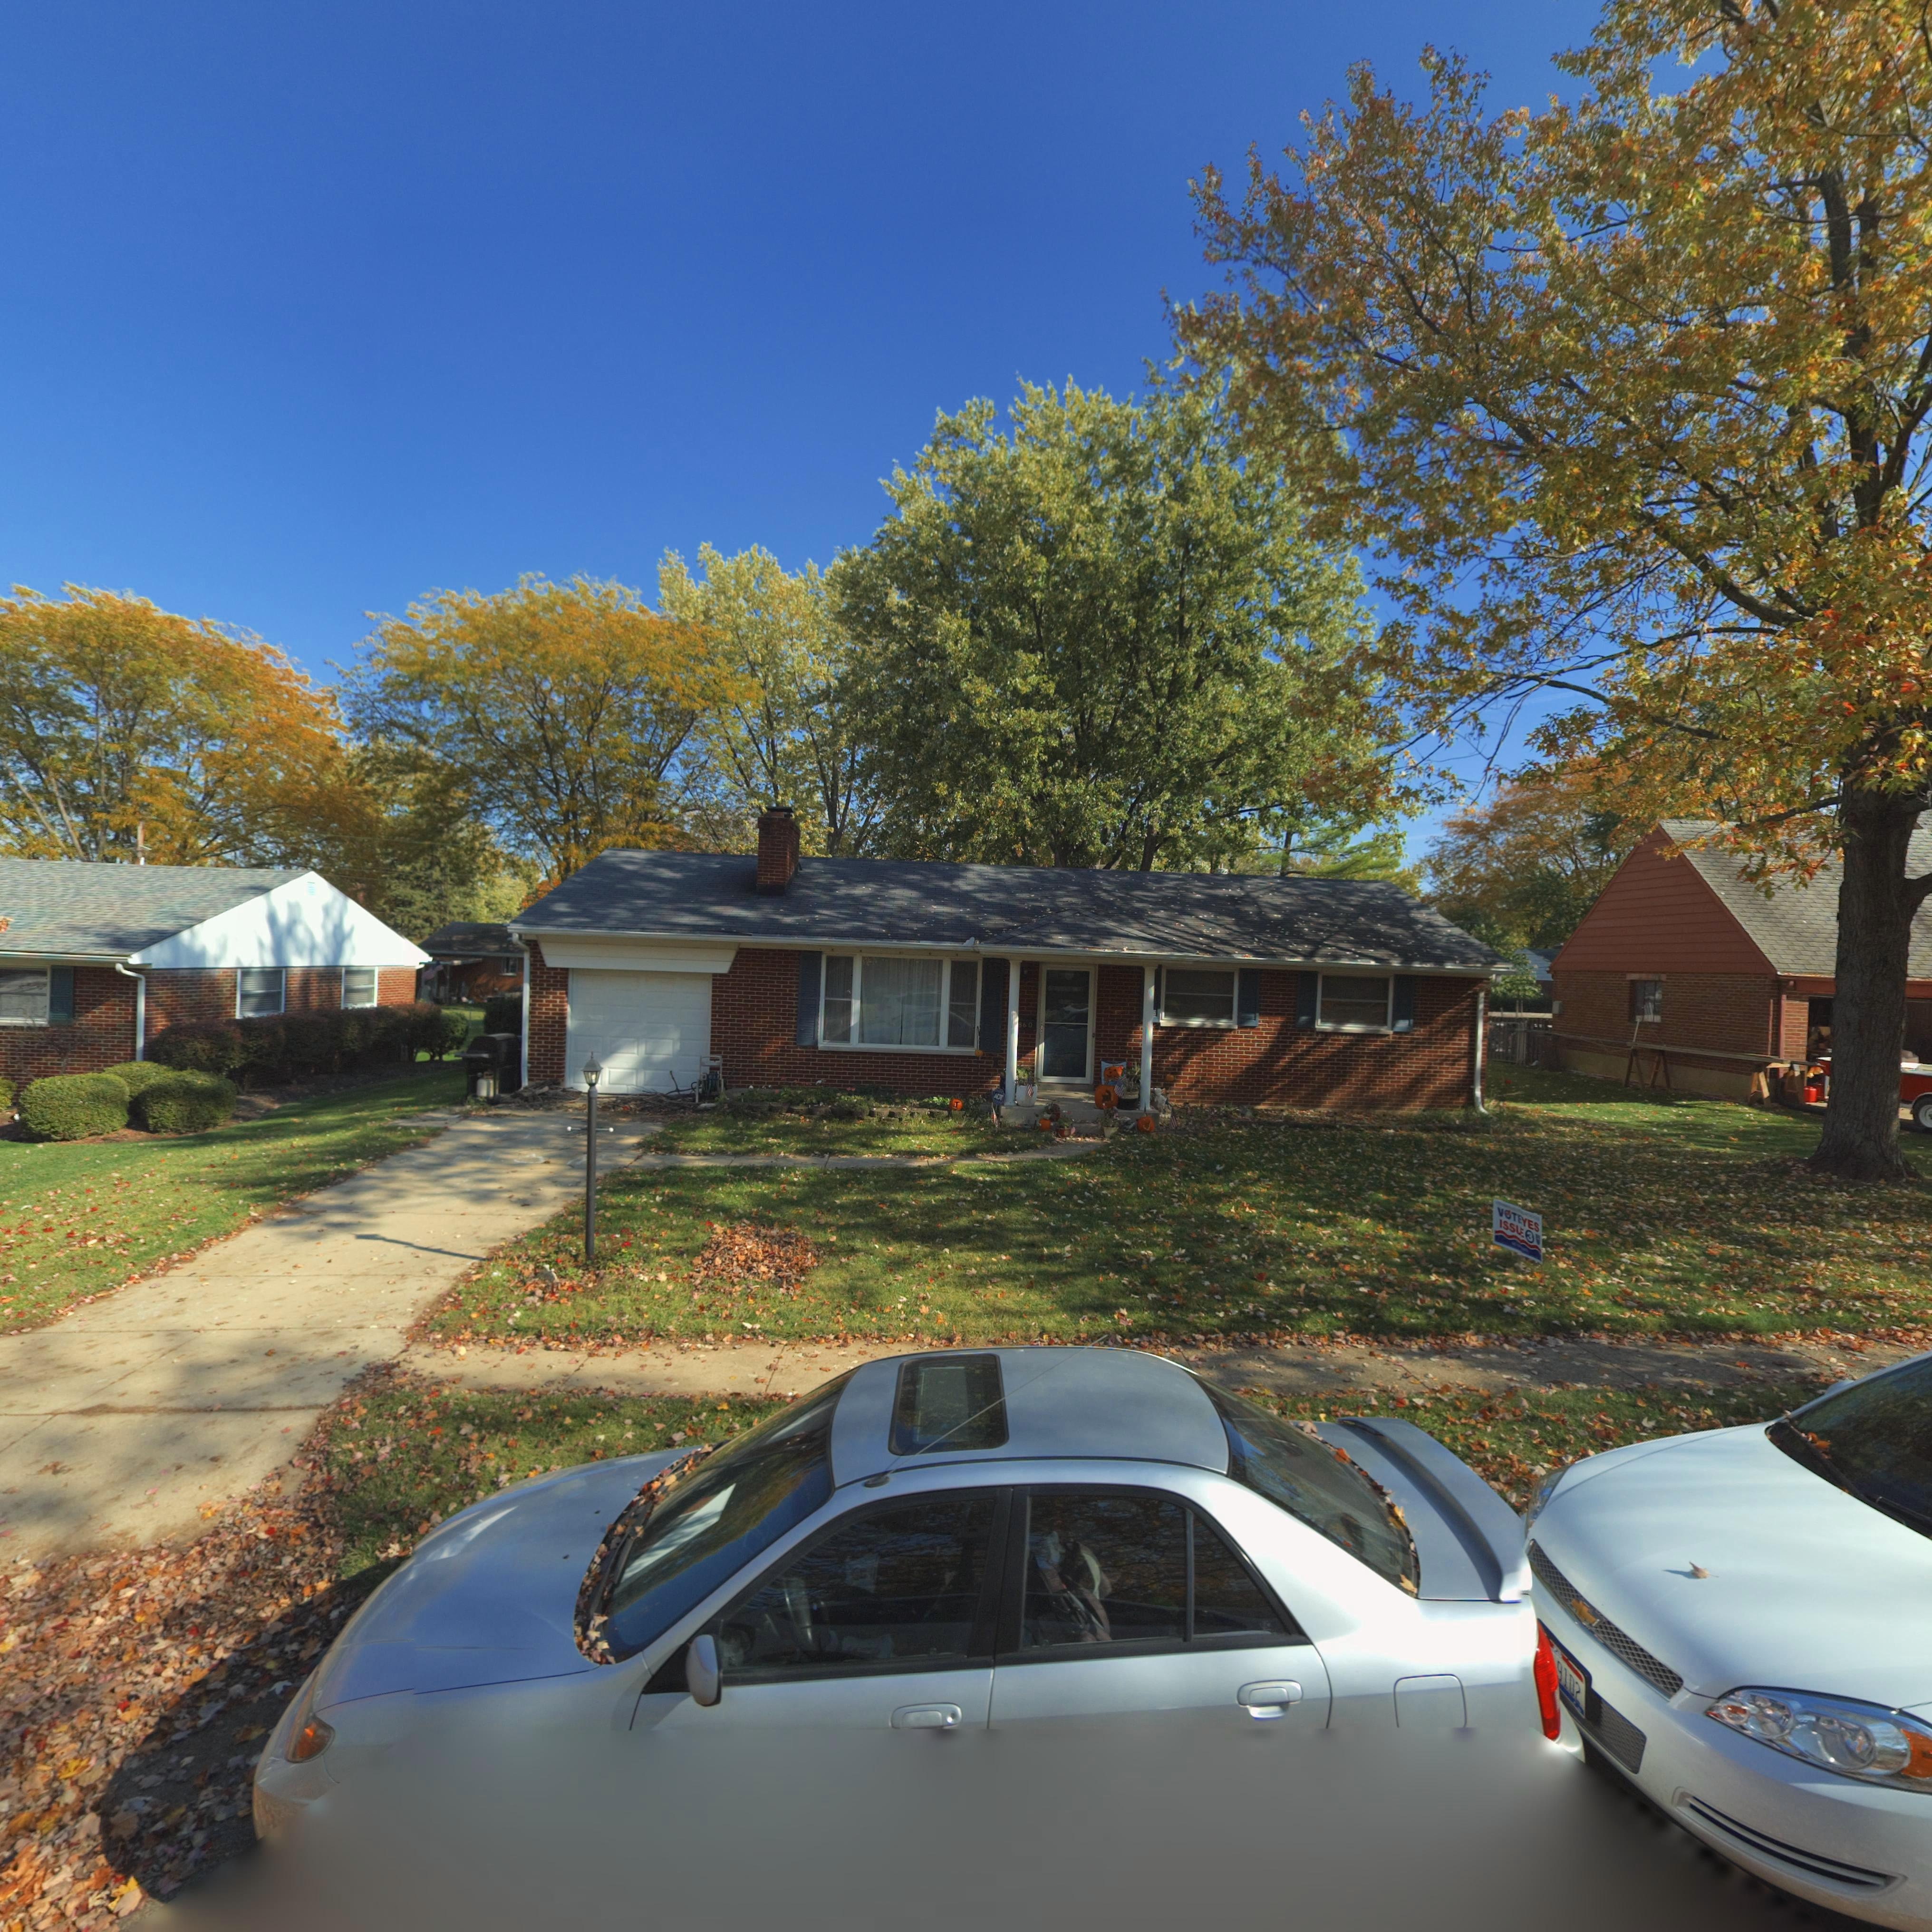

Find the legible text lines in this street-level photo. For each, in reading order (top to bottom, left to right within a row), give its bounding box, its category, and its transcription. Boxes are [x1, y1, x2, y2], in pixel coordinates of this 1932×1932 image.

[1022, 1022, 1033, 1029] StreetNumber: 60
[952, 1101, 961, 1109] None: J
[992, 1092, 1005, 1101] None: ADT
[1498, 1218, 1535, 1244] None: ISS** 3
[1496, 1206, 1542, 1234] None: VOTEYES
[1555, 1658, 1583, 1702] None: 9102